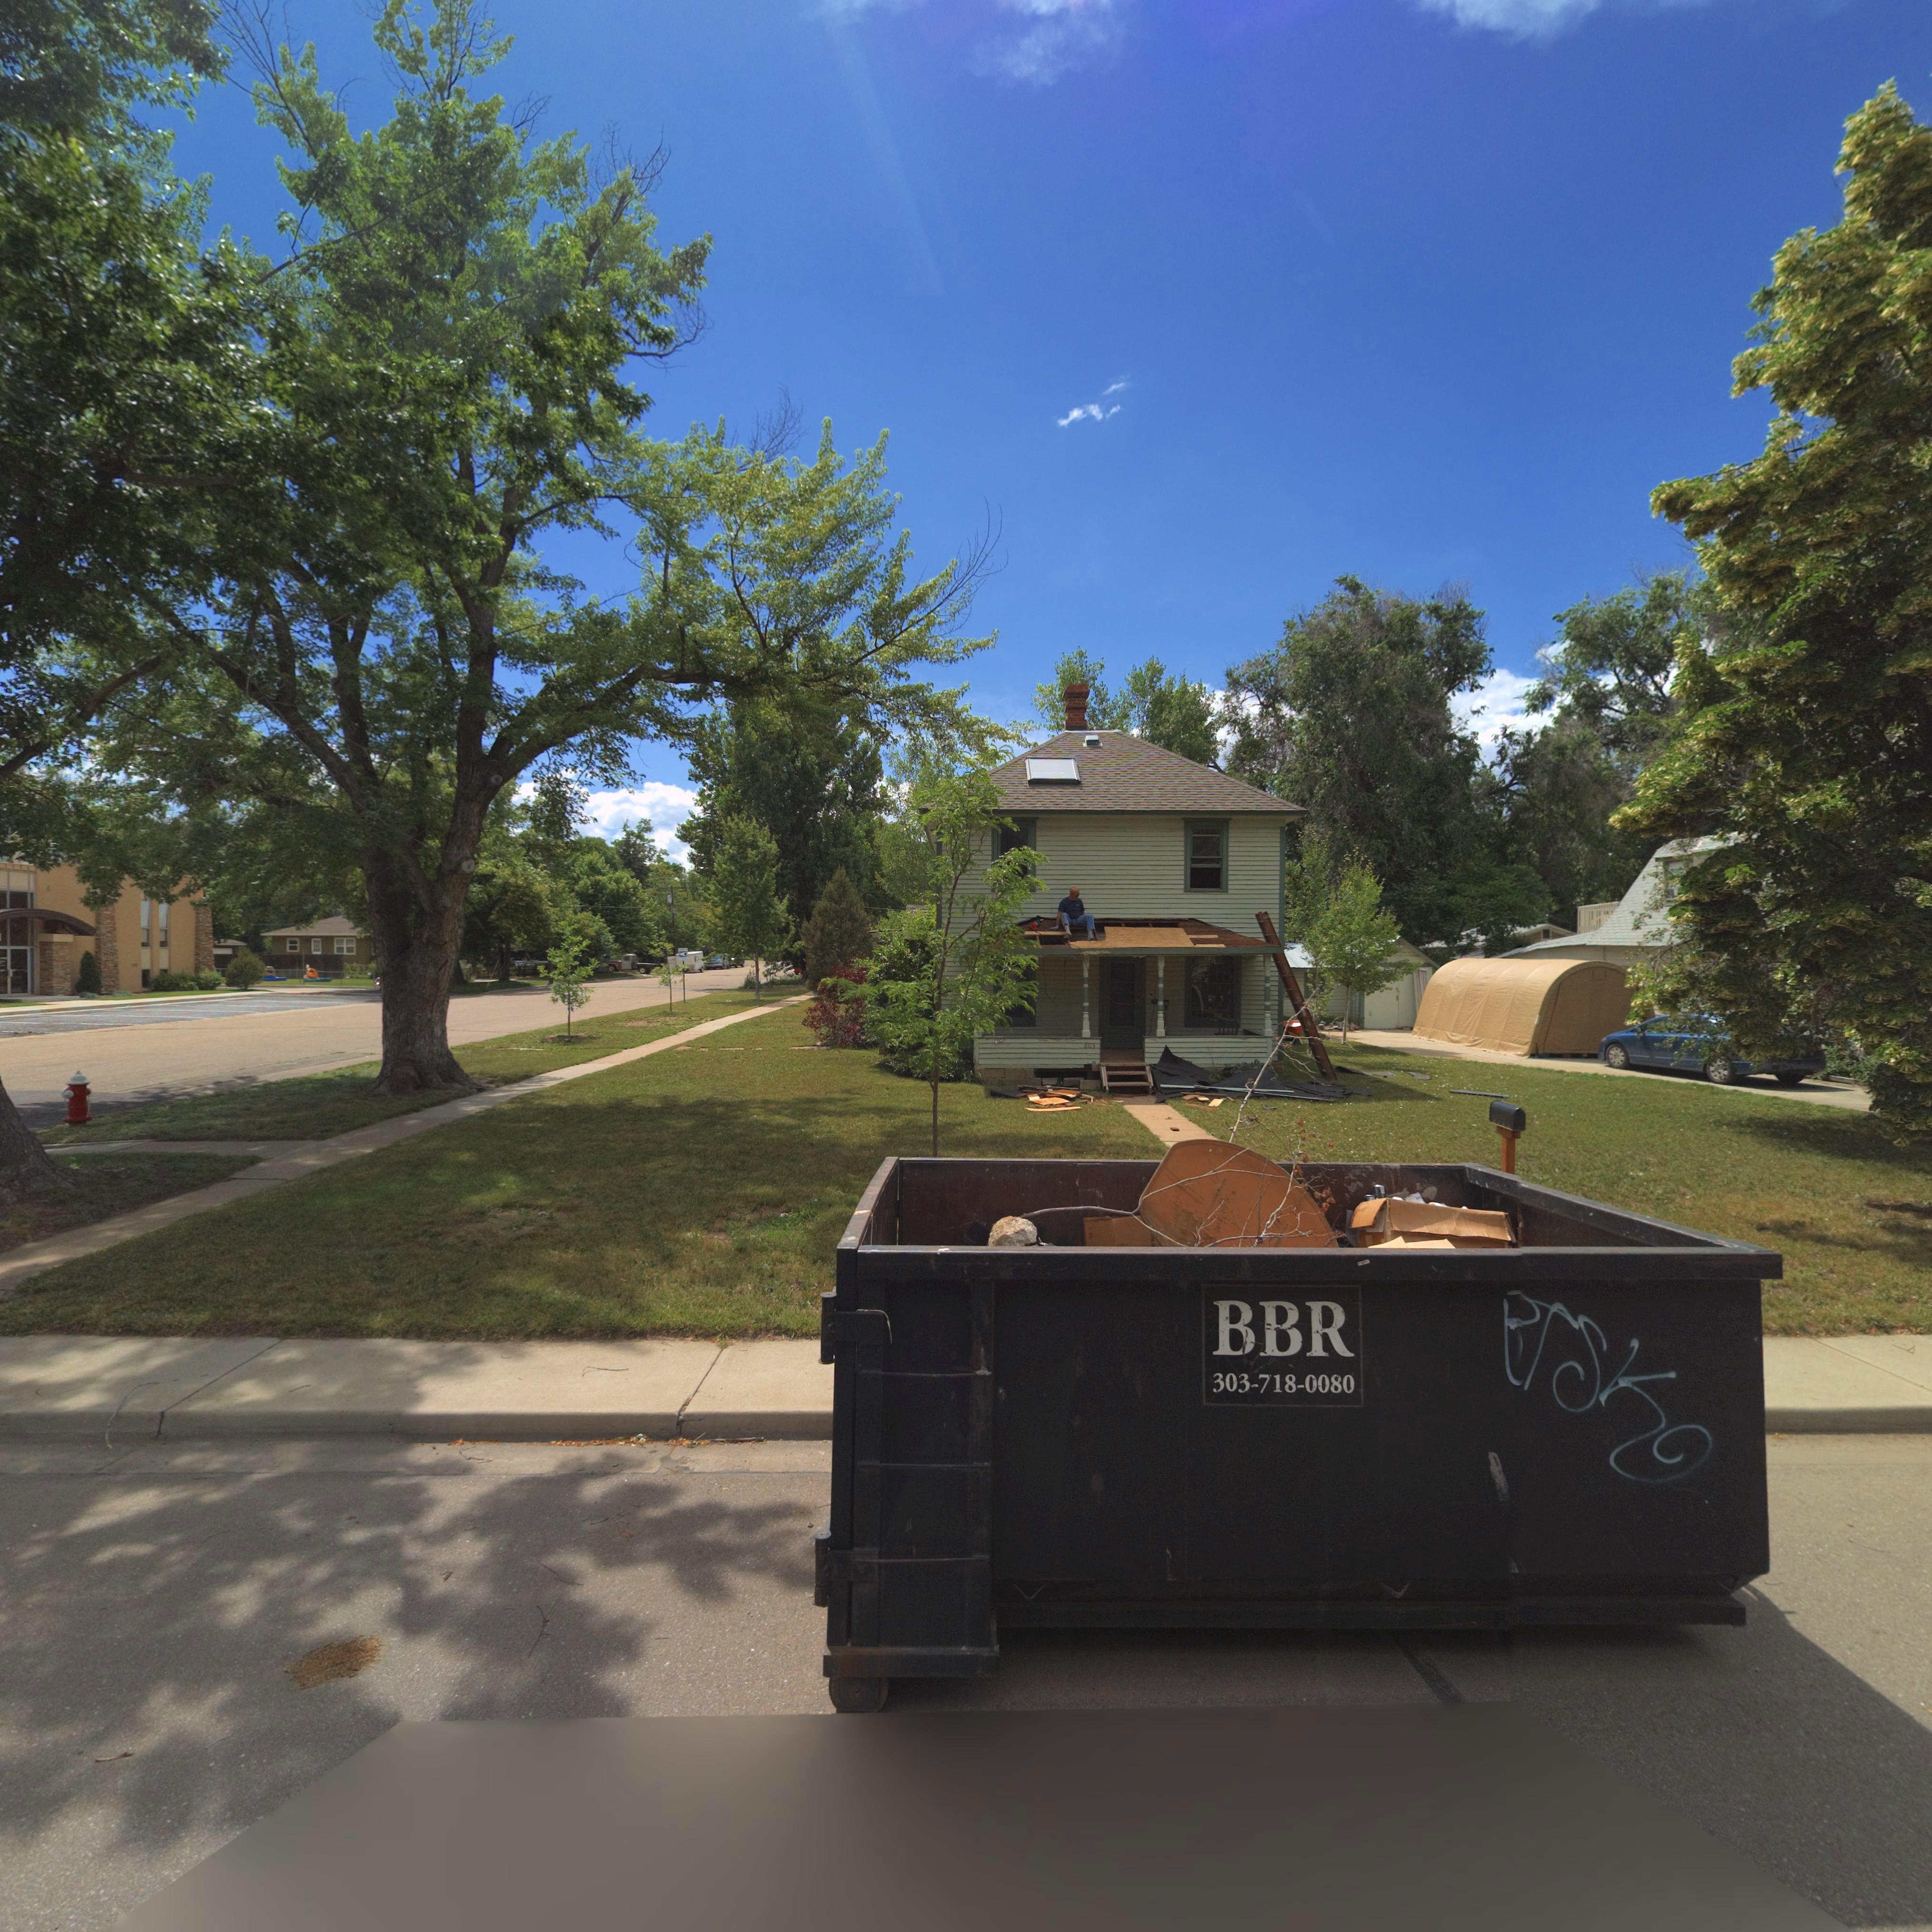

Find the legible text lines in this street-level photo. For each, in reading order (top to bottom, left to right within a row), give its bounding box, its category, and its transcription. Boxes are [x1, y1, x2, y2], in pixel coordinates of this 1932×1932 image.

[1083, 1042, 1095, 1049] StreetNumber: 803